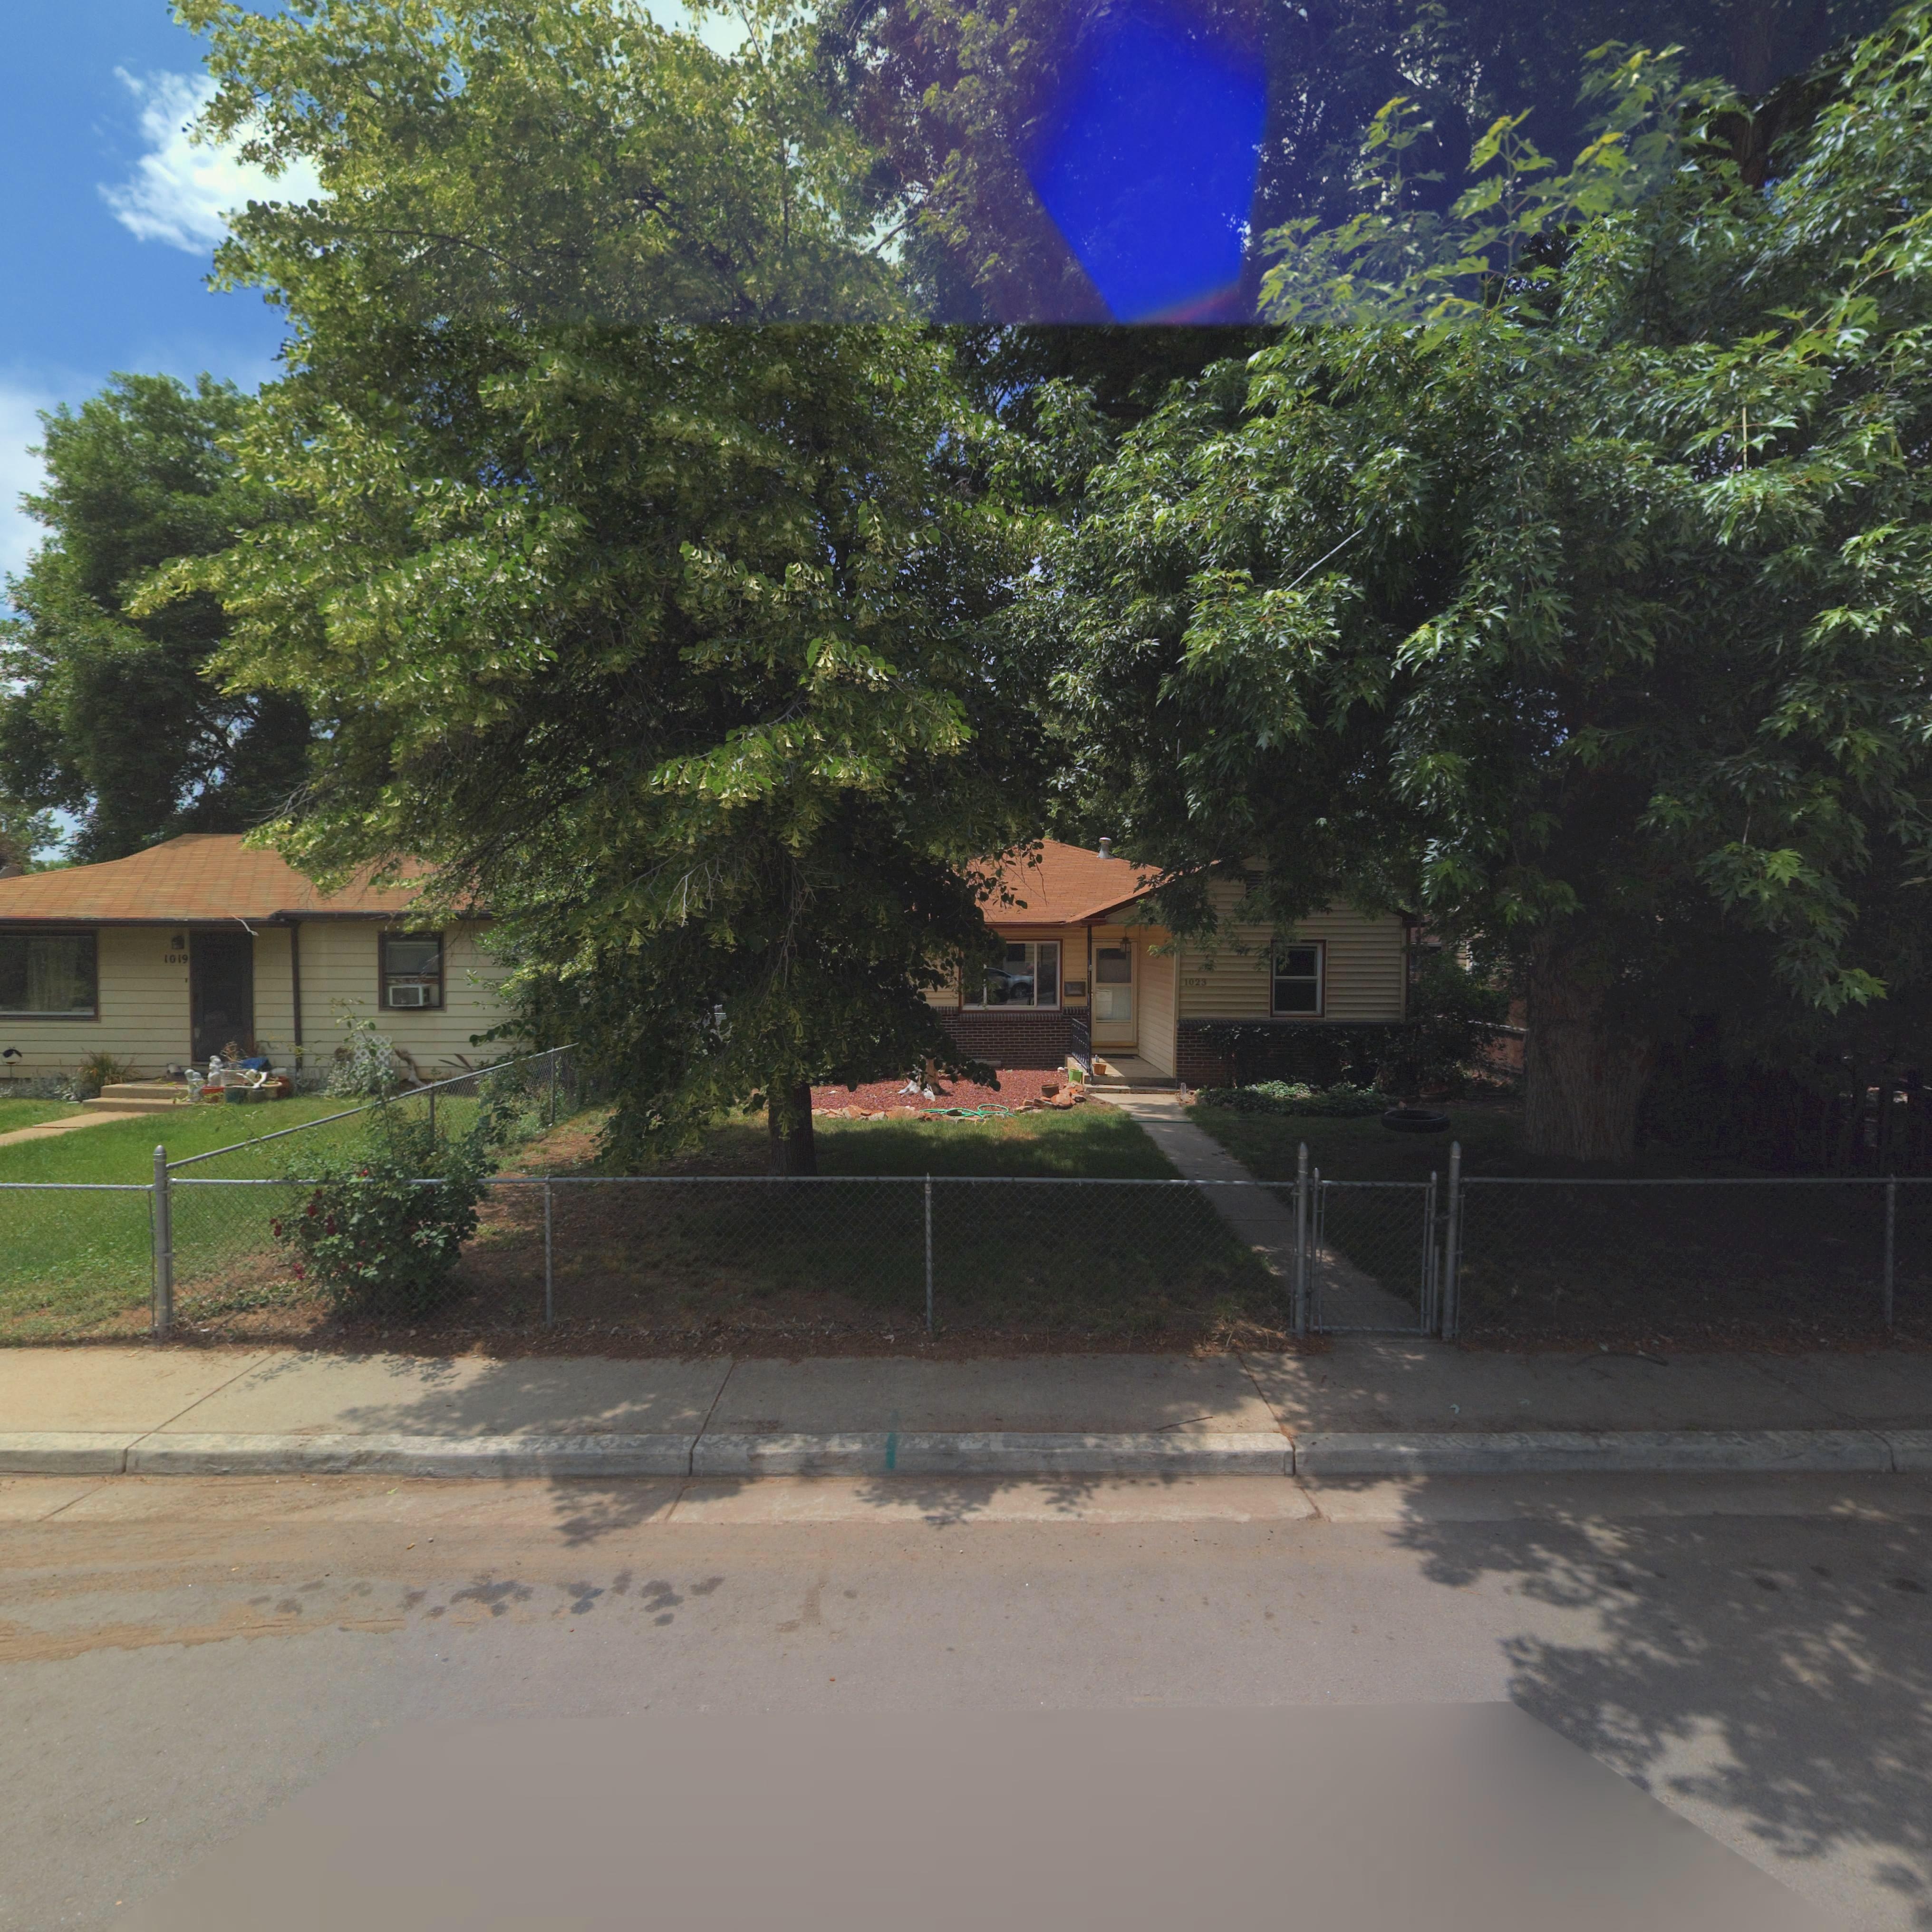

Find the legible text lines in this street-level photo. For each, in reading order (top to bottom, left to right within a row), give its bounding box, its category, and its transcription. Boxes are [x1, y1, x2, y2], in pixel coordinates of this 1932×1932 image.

[164, 954, 189, 964] StreetNumber: 1019
[1185, 977, 1206, 985] StreetNumber: 1023